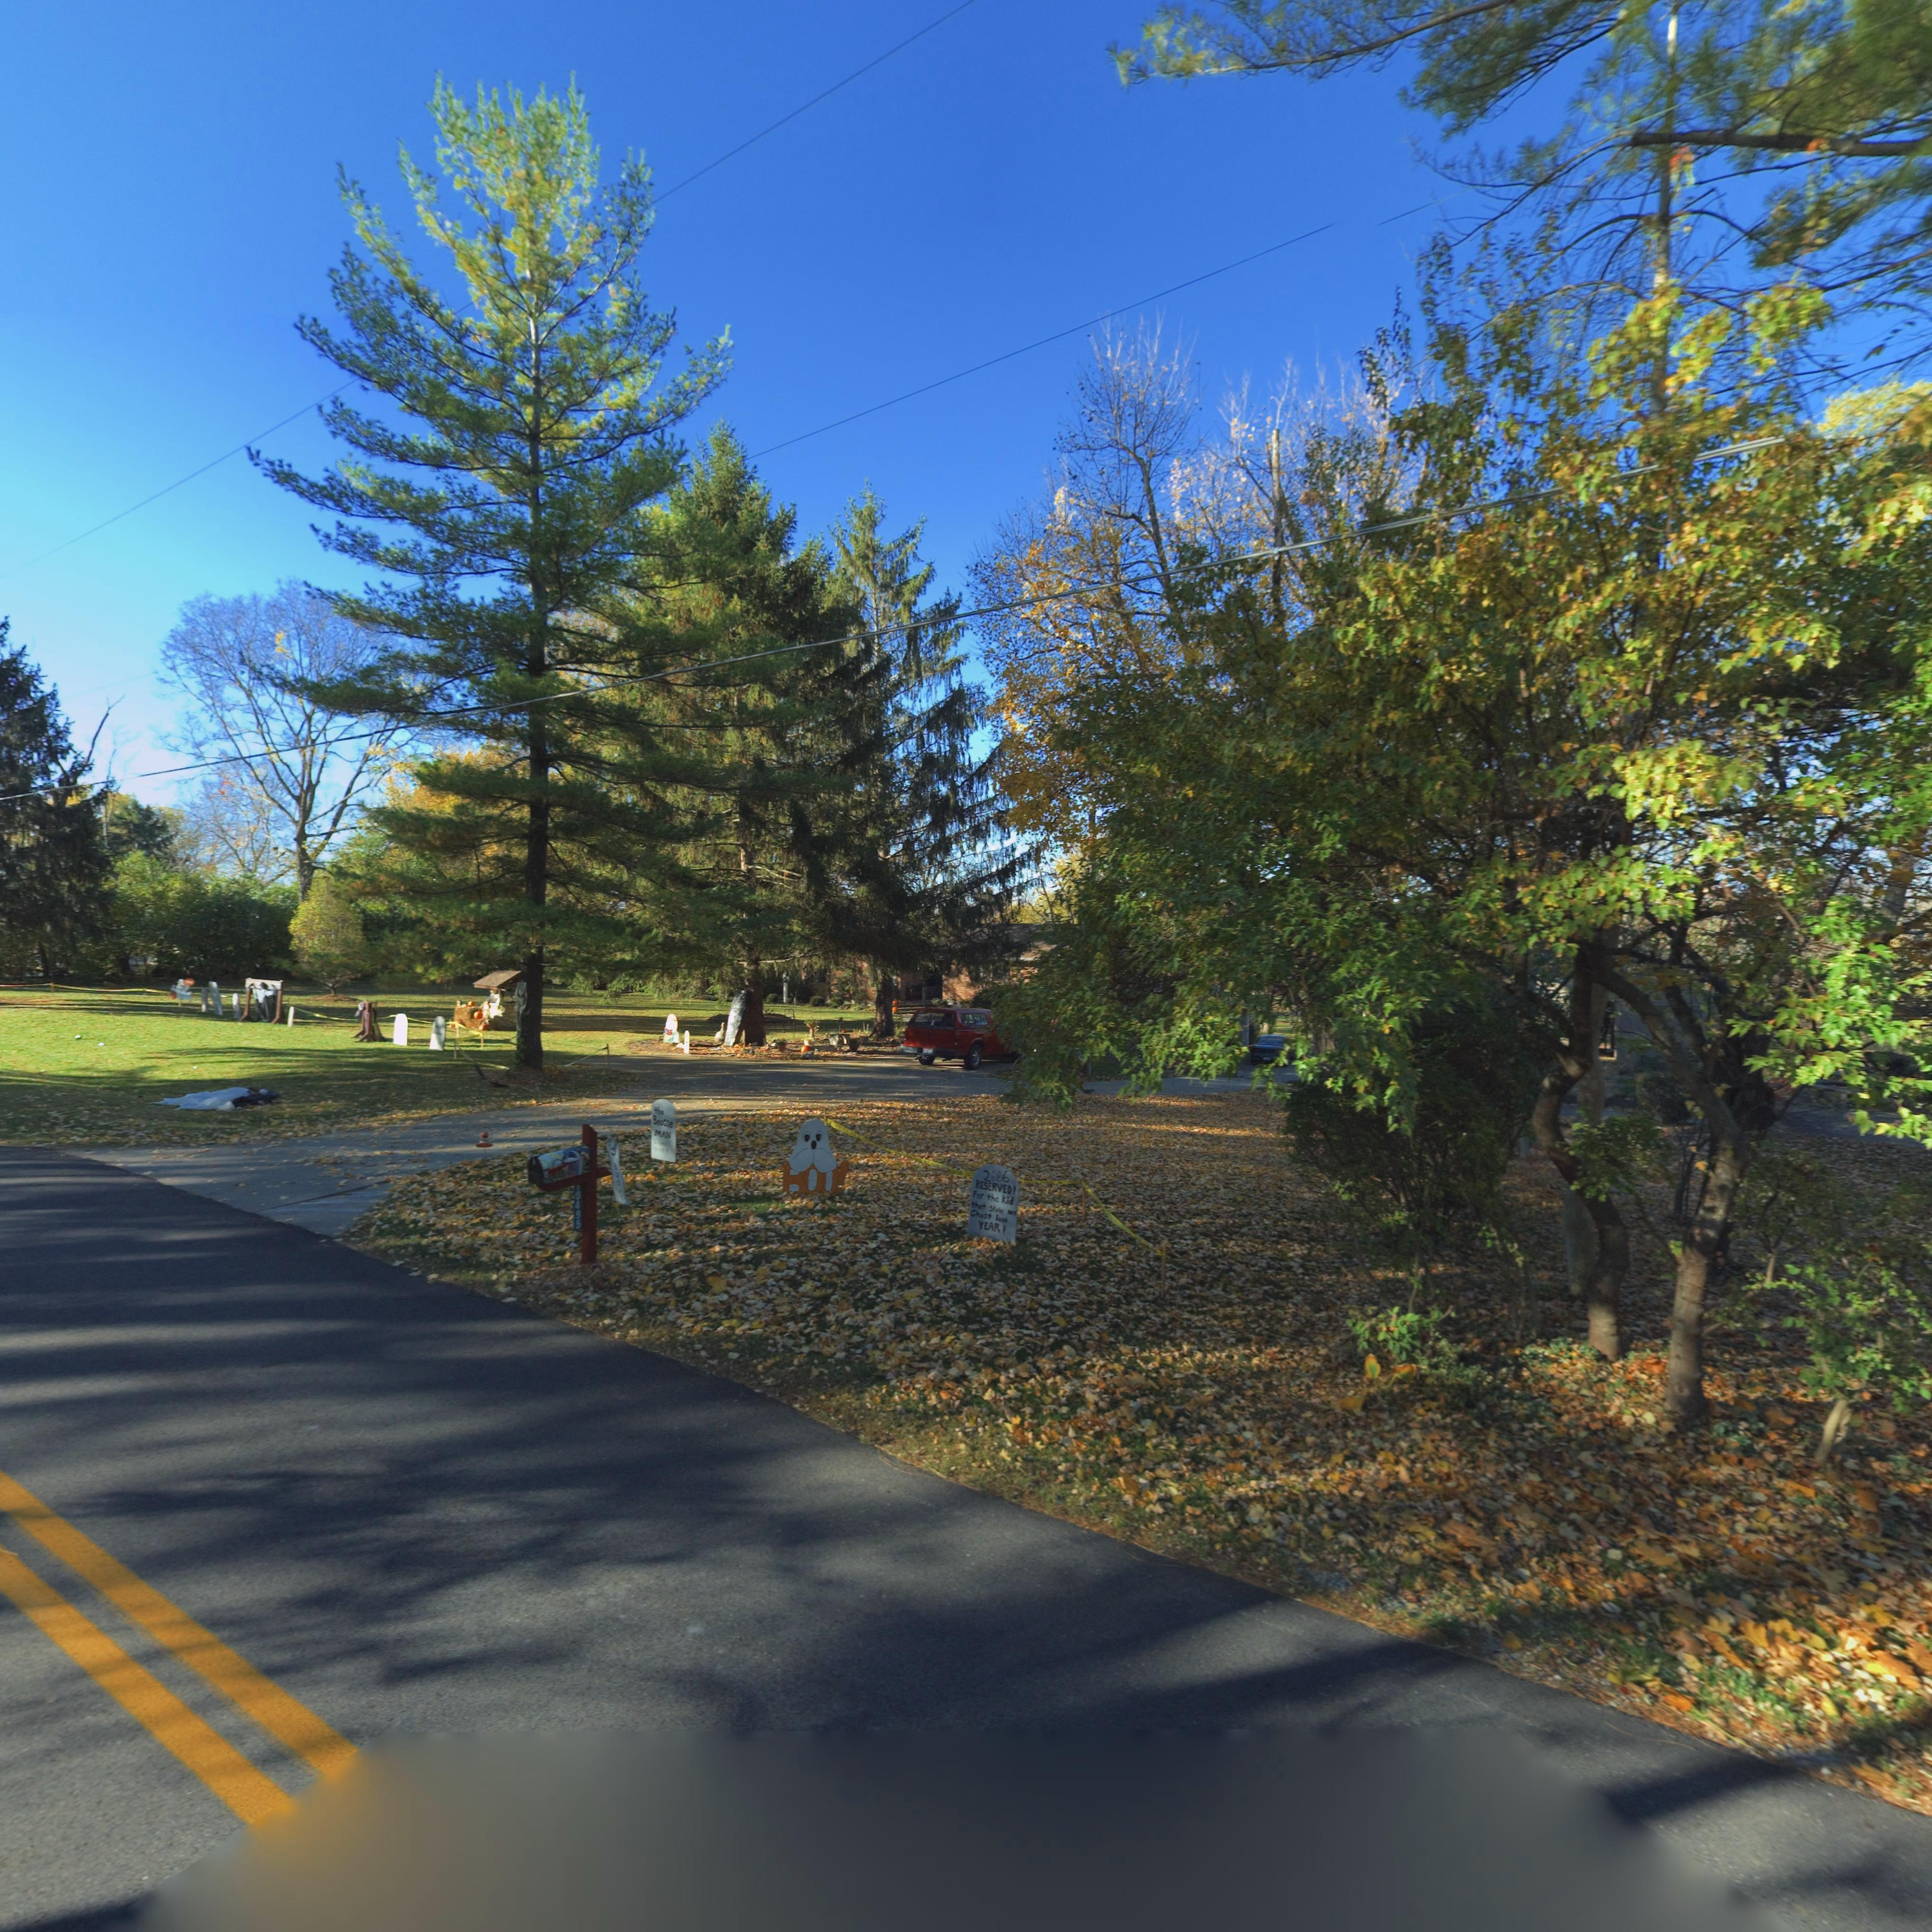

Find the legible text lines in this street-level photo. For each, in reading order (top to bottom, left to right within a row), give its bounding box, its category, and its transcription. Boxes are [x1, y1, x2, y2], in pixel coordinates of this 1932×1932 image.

[654, 1105, 666, 1116] None: the
[652, 1114, 674, 1130] None: BooGie
[654, 1128, 673, 1140] None: MAN
[983, 1169, 1011, 1183] None: 2006
[974, 1179, 1018, 1197] None: RESERVED!
[574, 1182, 583, 1230] StreetNumber: **495
[970, 1208, 1010, 1225] None: Ghost last
[969, 1199, 1018, 1217] None: that stole my
[972, 1189, 1017, 1207] None: For the kid
[978, 1219, 1007, 1236] None: YEAR!